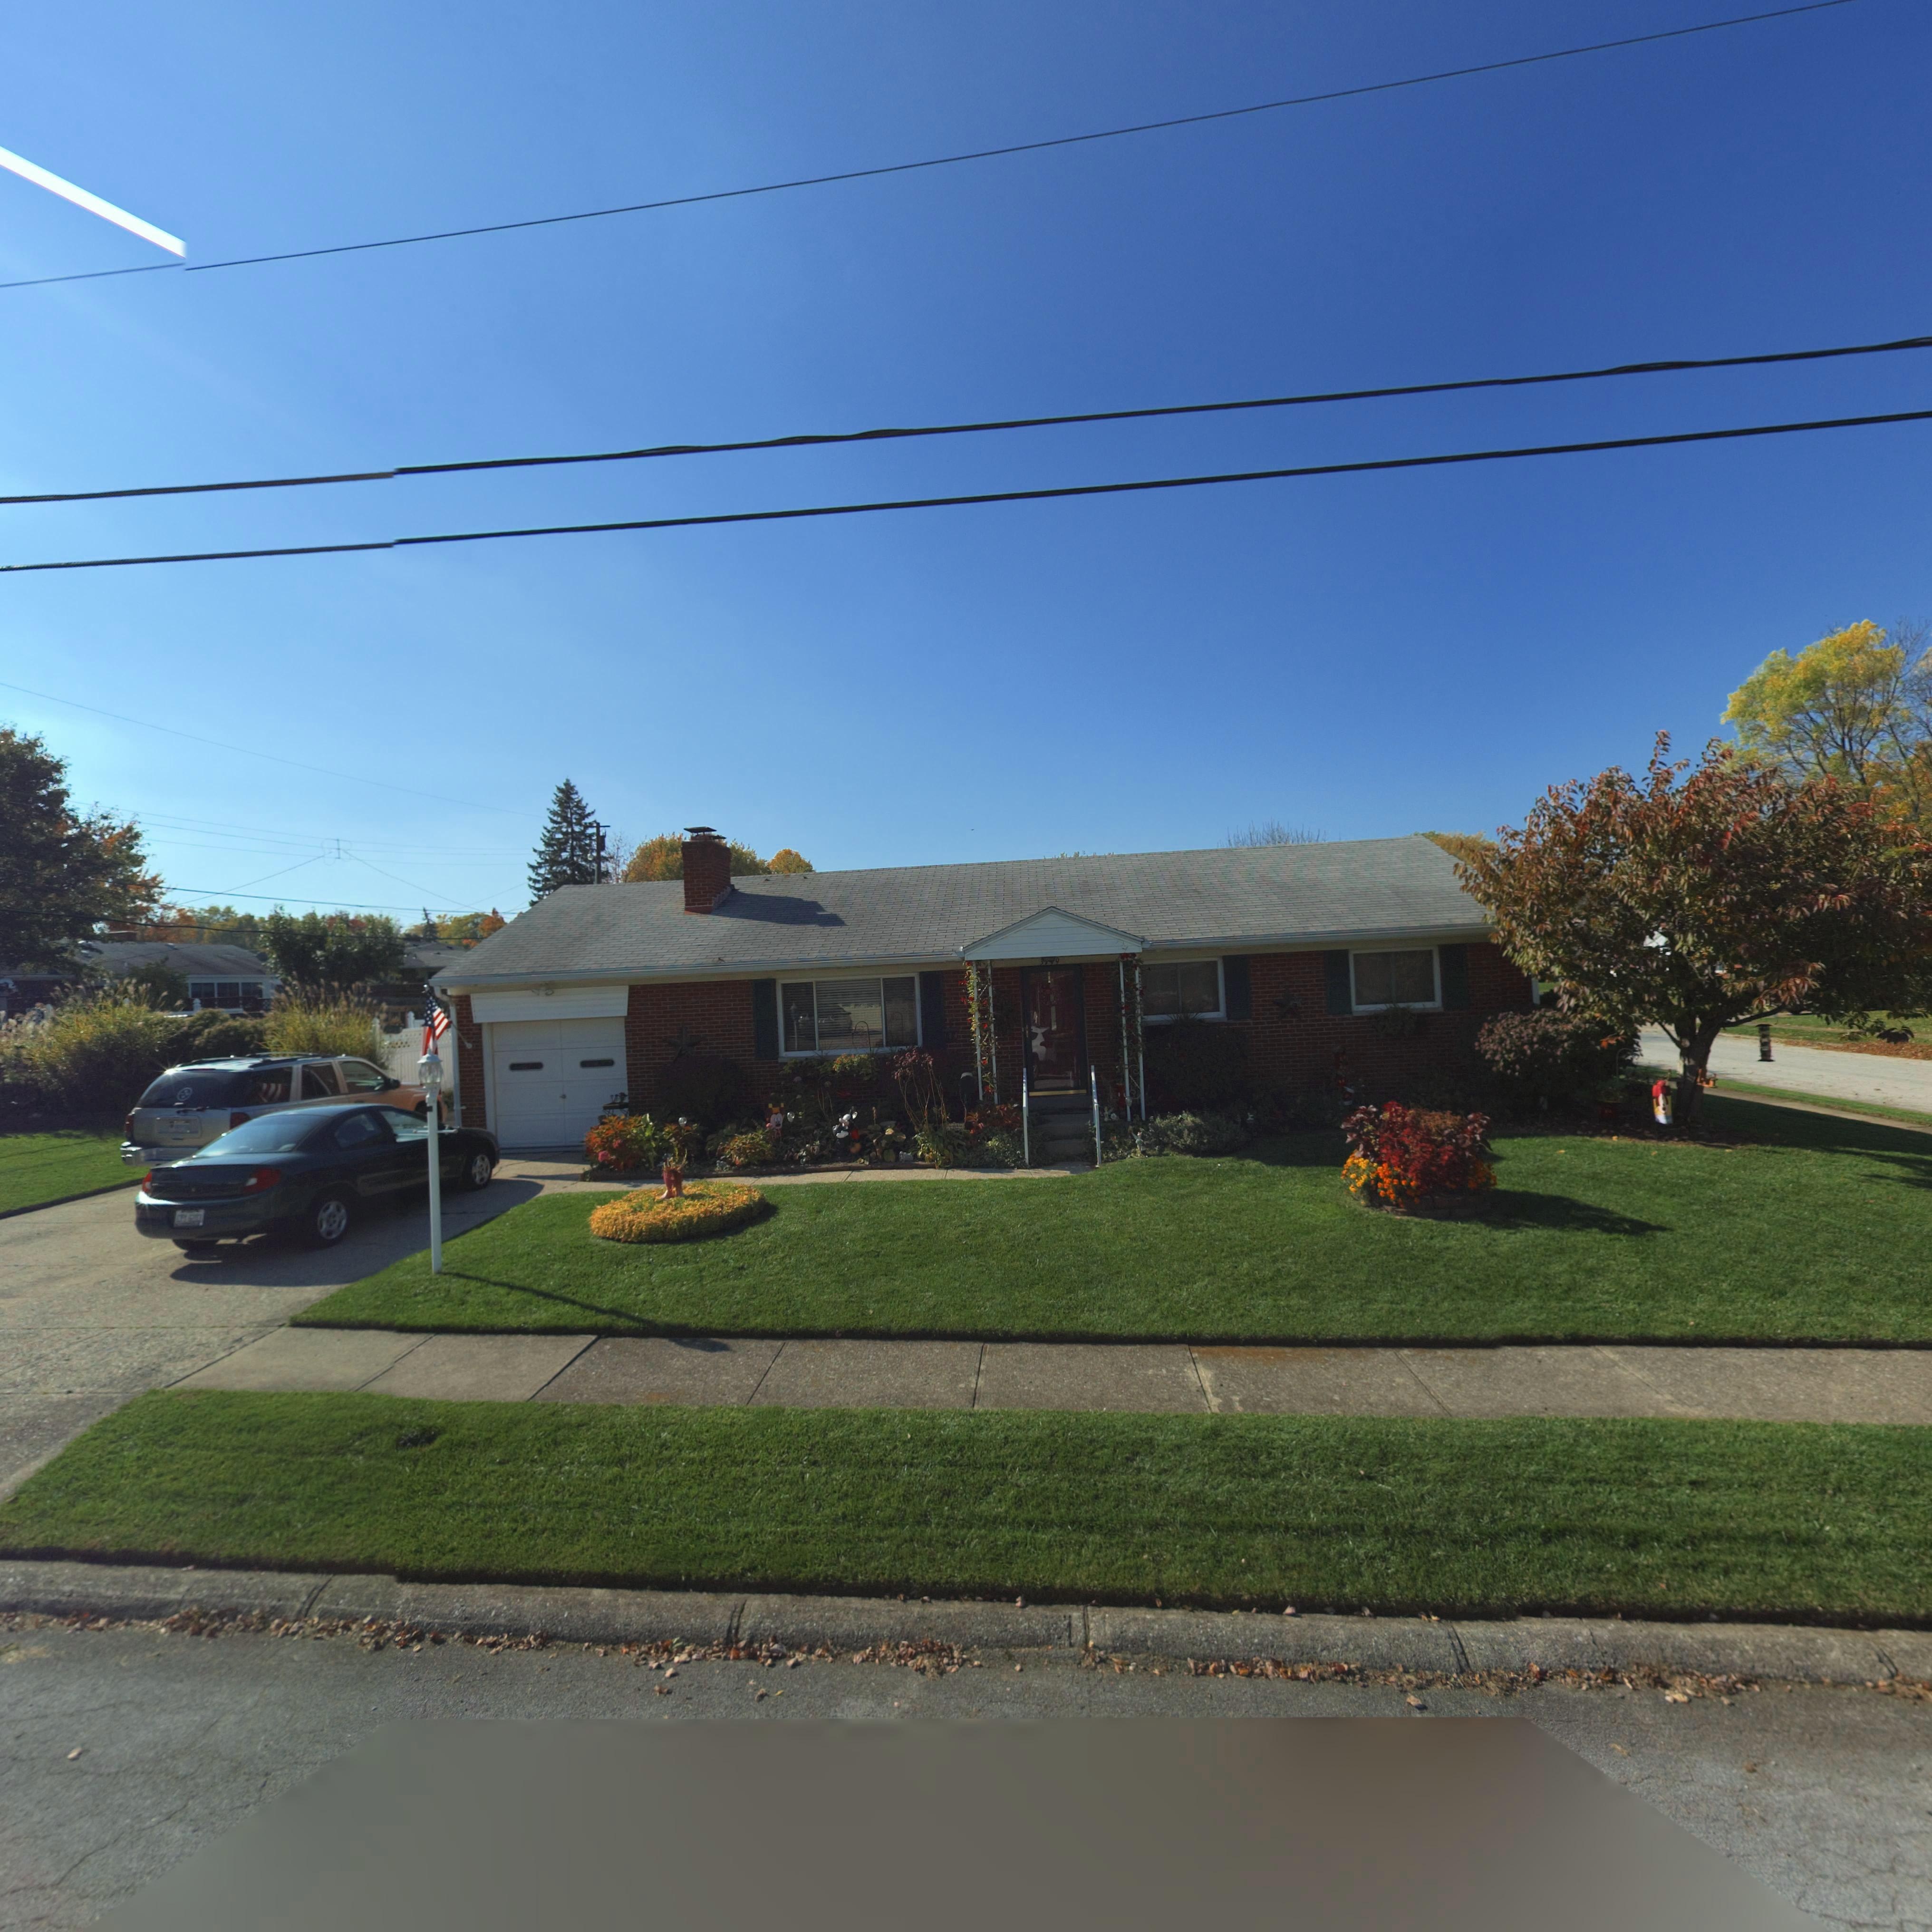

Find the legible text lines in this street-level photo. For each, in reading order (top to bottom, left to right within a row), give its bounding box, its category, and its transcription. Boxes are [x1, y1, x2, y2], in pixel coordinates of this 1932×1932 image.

[1039, 957, 1060, 966] StreetNumber: 3**9
[174, 1124, 191, 1130] None: 069TAX
[174, 1213, 204, 1223] None: CPY 6203